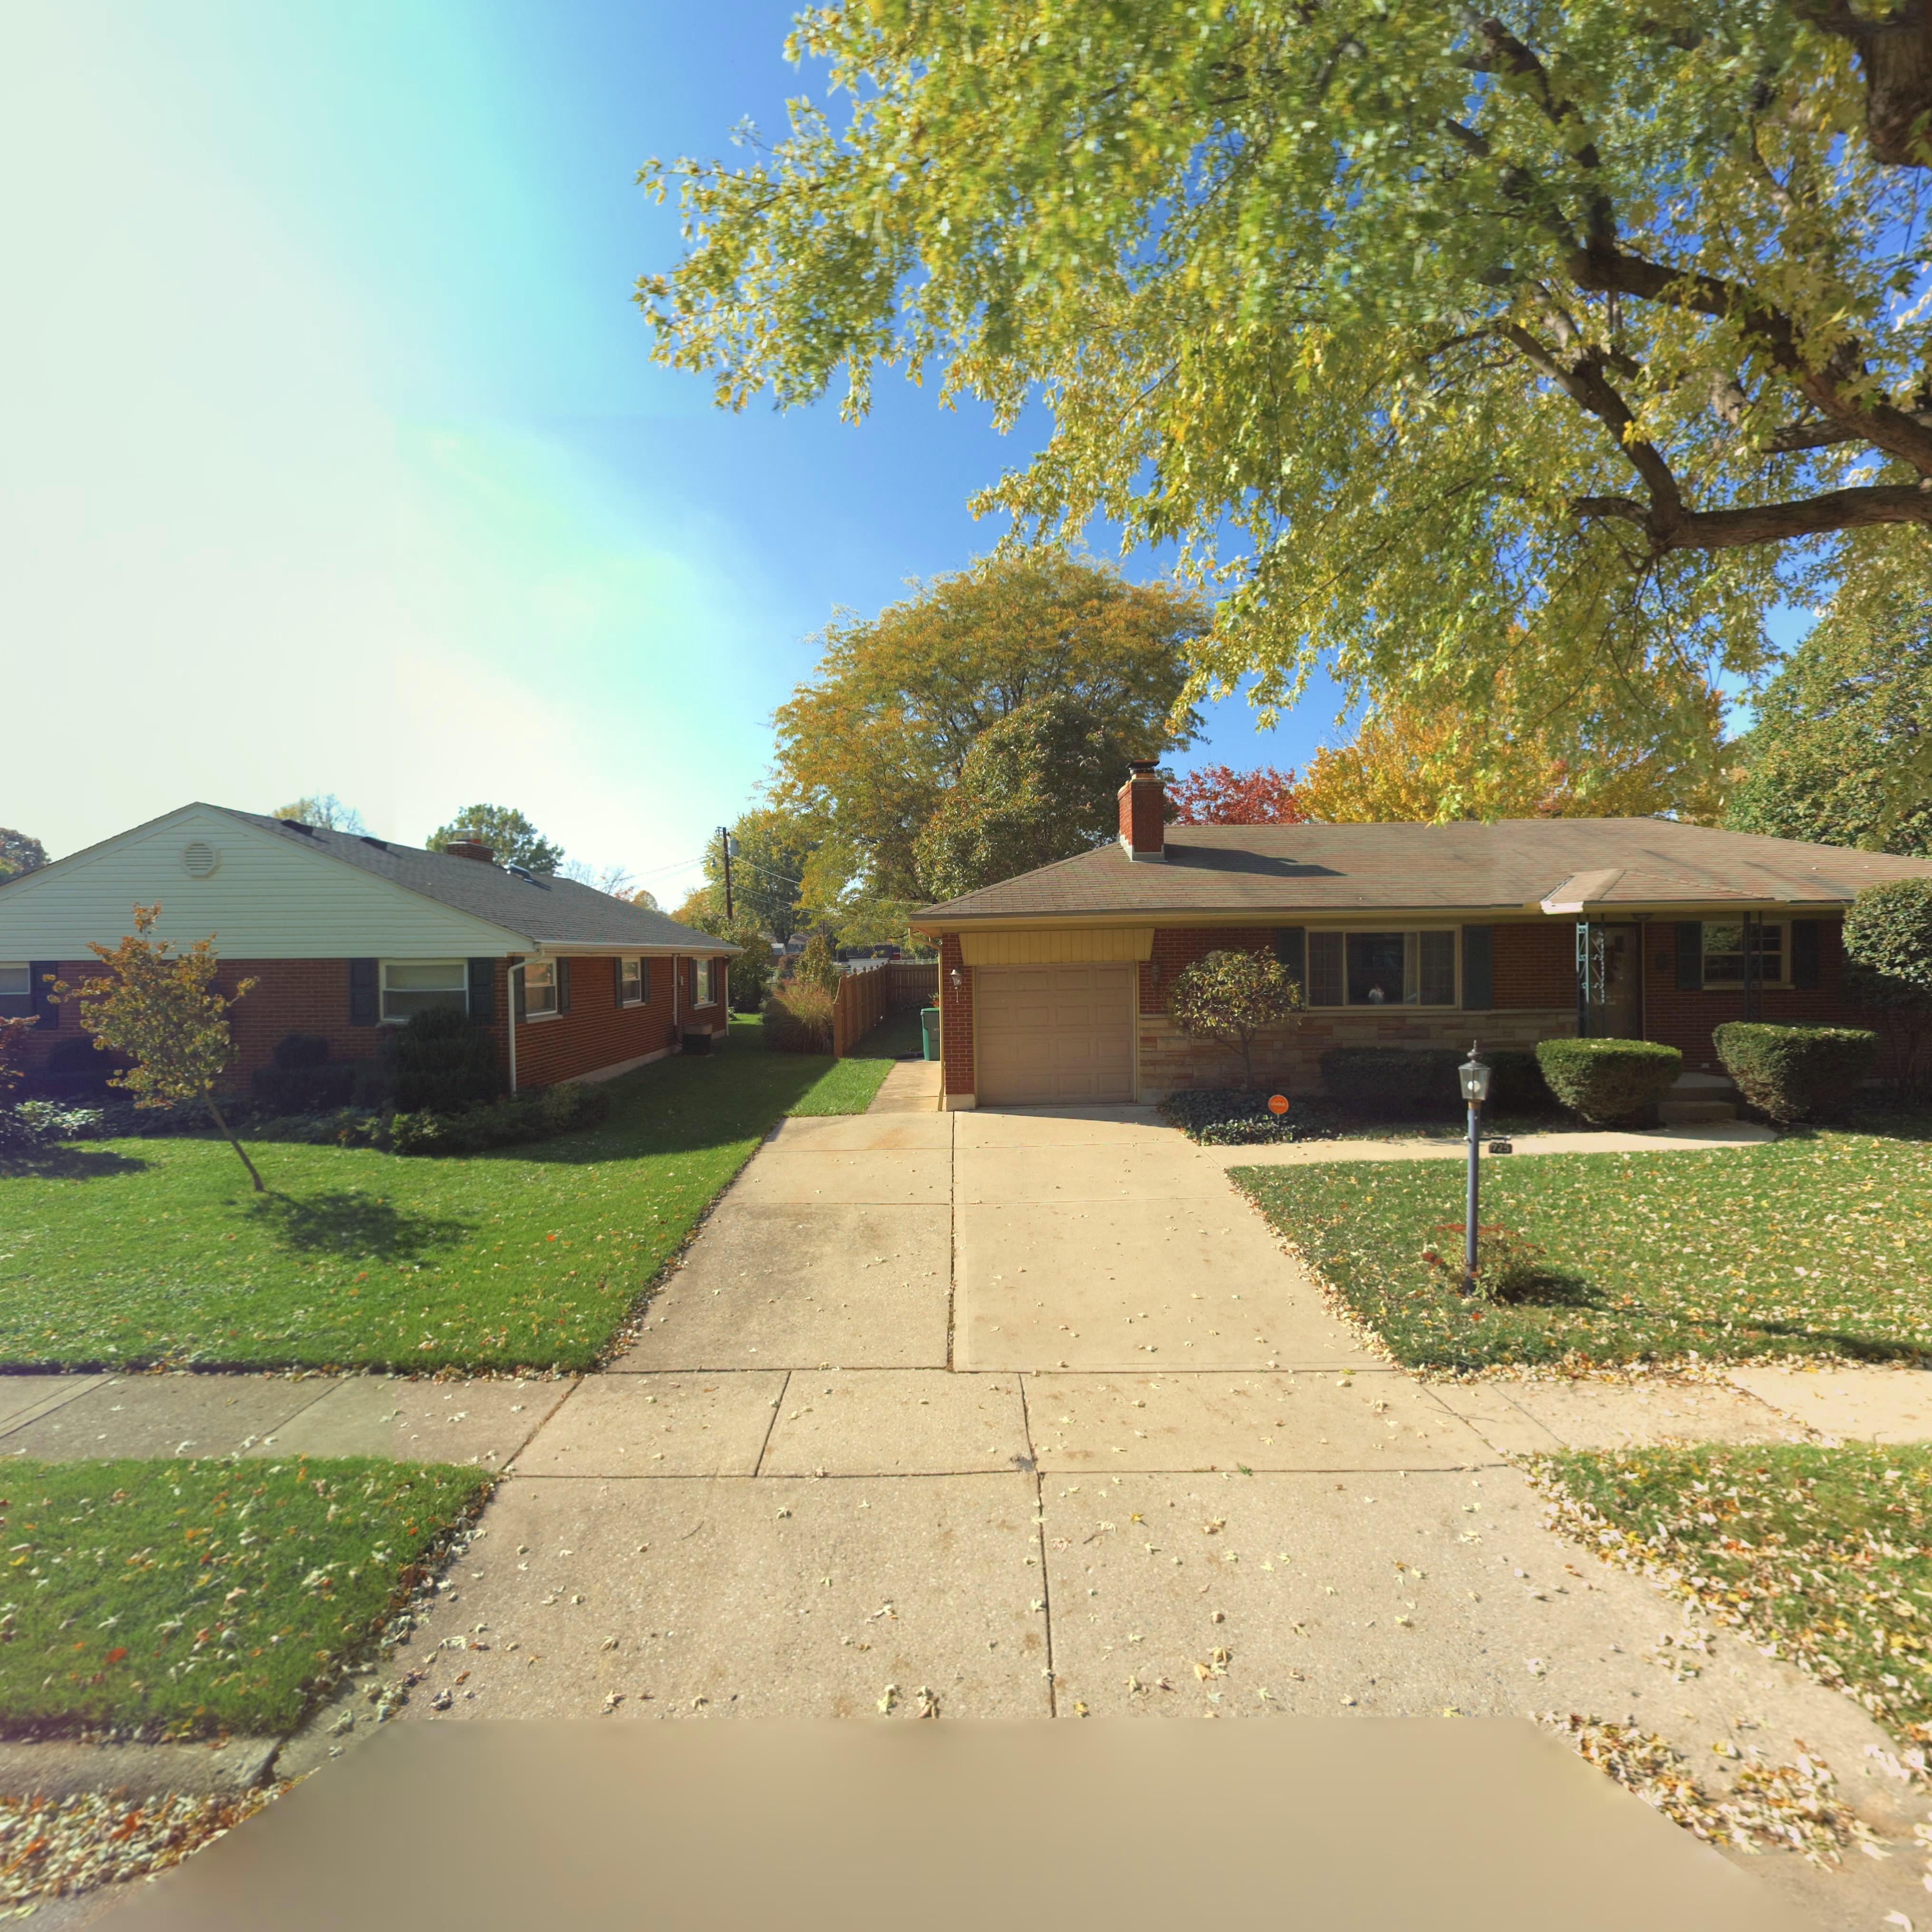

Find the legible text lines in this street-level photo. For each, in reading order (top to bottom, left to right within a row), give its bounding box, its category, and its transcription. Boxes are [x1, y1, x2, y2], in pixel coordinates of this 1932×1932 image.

[1491, 1143, 1511, 1154] StreetNumber: 725